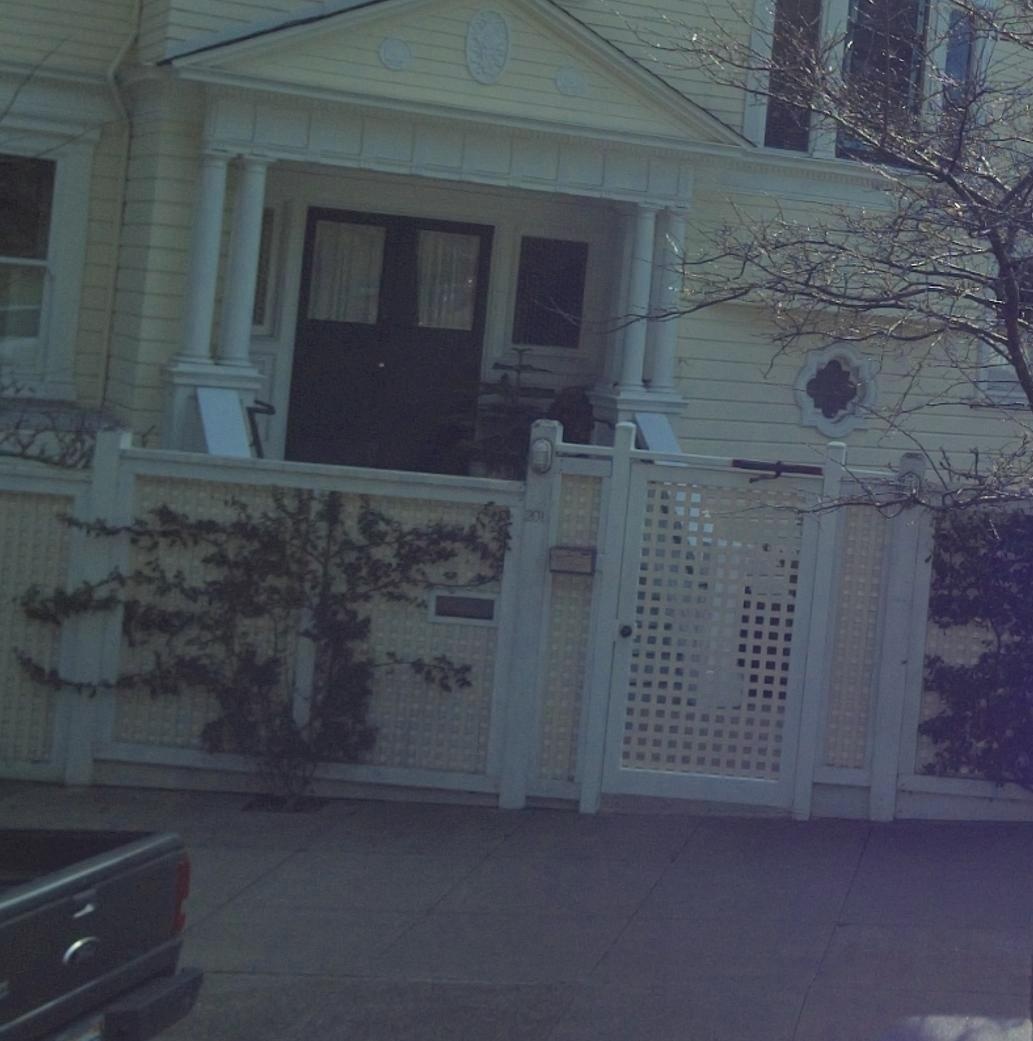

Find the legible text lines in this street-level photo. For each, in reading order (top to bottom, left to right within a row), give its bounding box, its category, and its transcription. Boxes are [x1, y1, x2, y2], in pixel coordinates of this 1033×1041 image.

[525, 509, 547, 525] StreetNumber: 201